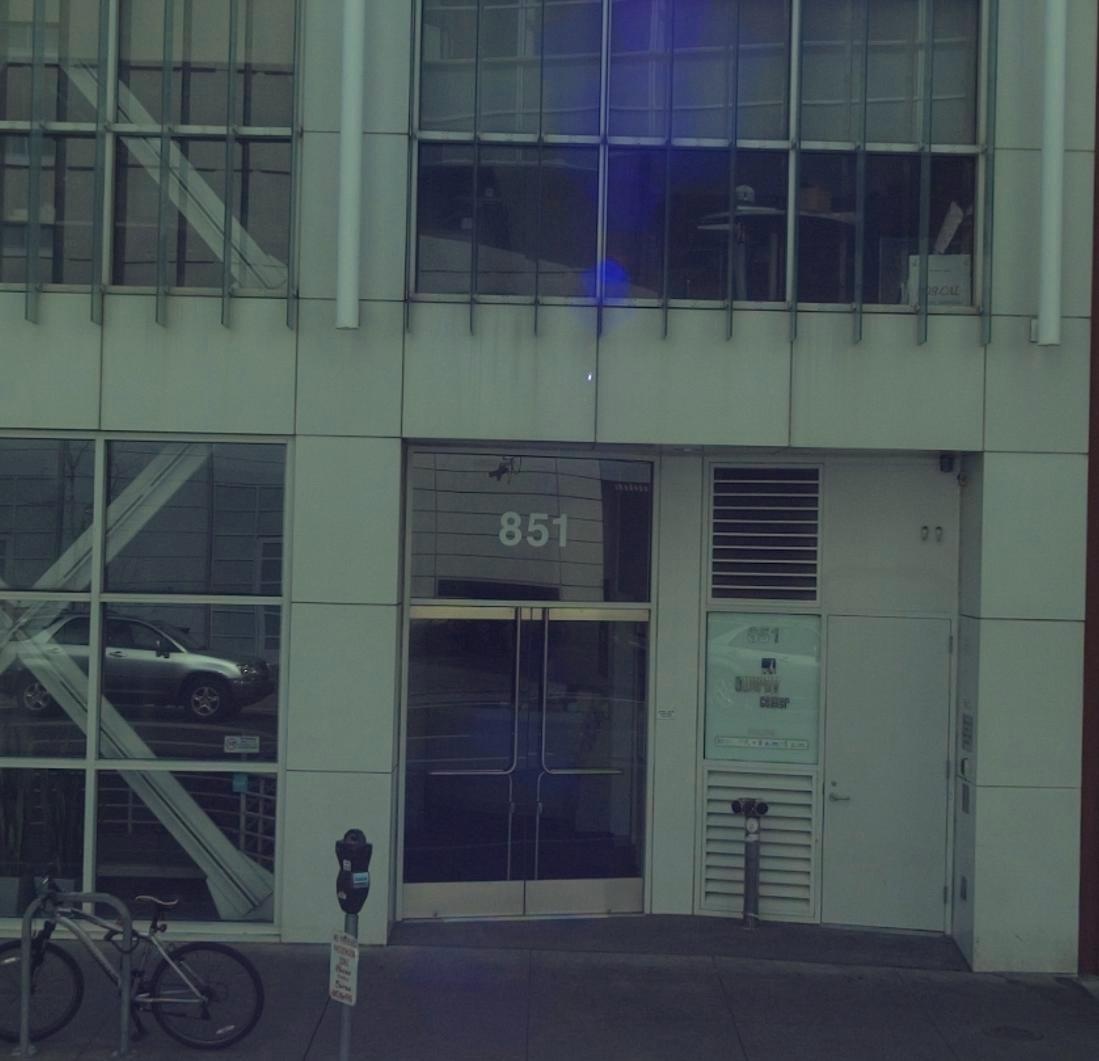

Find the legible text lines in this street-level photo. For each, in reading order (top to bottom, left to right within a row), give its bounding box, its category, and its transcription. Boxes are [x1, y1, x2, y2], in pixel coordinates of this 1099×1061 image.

[497, 508, 572, 551] StreetNumber: 851
[744, 624, 782, 647] None: 851
[783, 695, 793, 711] None: r